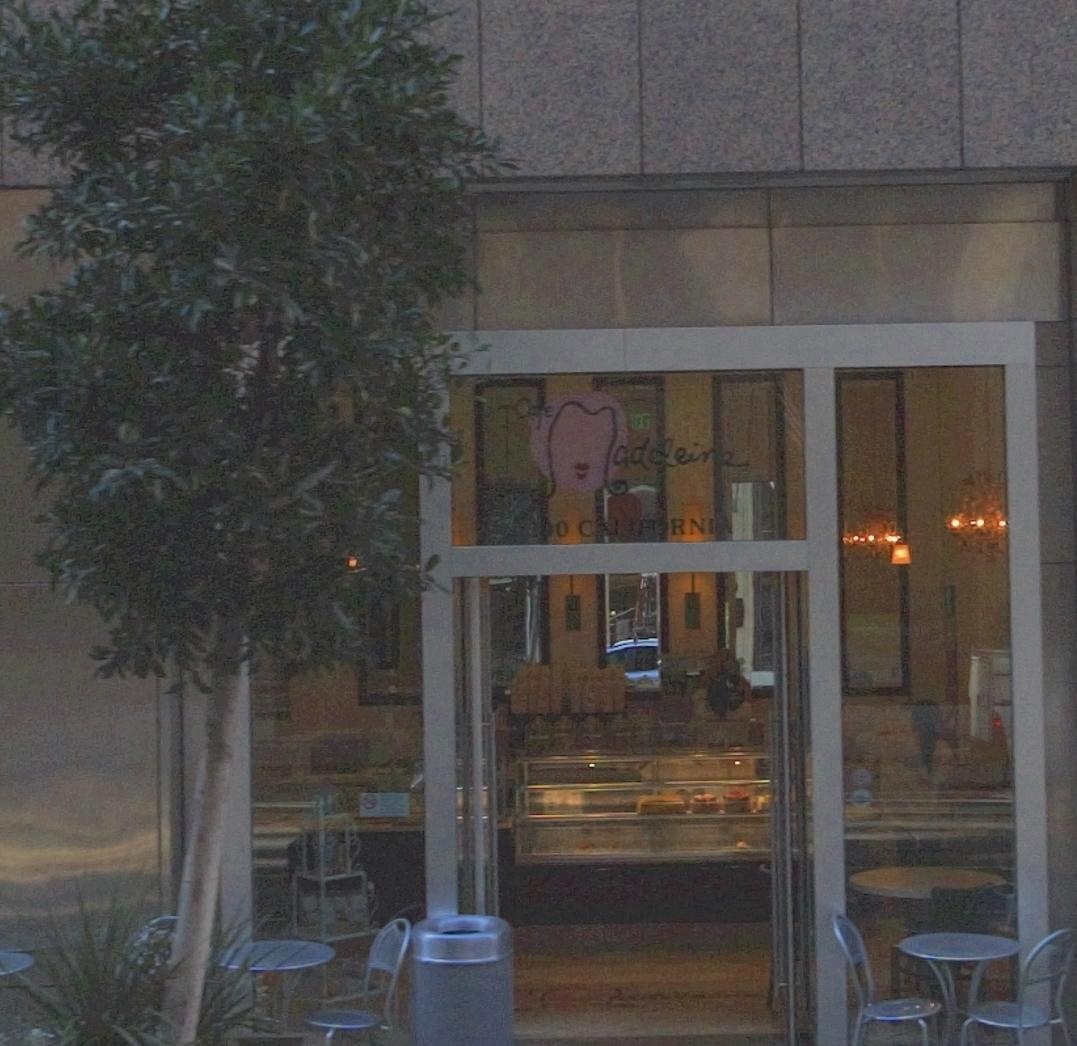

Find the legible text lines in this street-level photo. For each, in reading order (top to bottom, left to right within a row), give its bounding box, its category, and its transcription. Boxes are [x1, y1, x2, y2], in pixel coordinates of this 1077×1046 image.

[514, 395, 556, 431] BusinessName: Cafe
[531, 398, 750, 501] BusinessName: Madeleine
[524, 519, 570, 540] StreetNumber: 300
[578, 517, 735, 538] StreetName: C***FORNI*